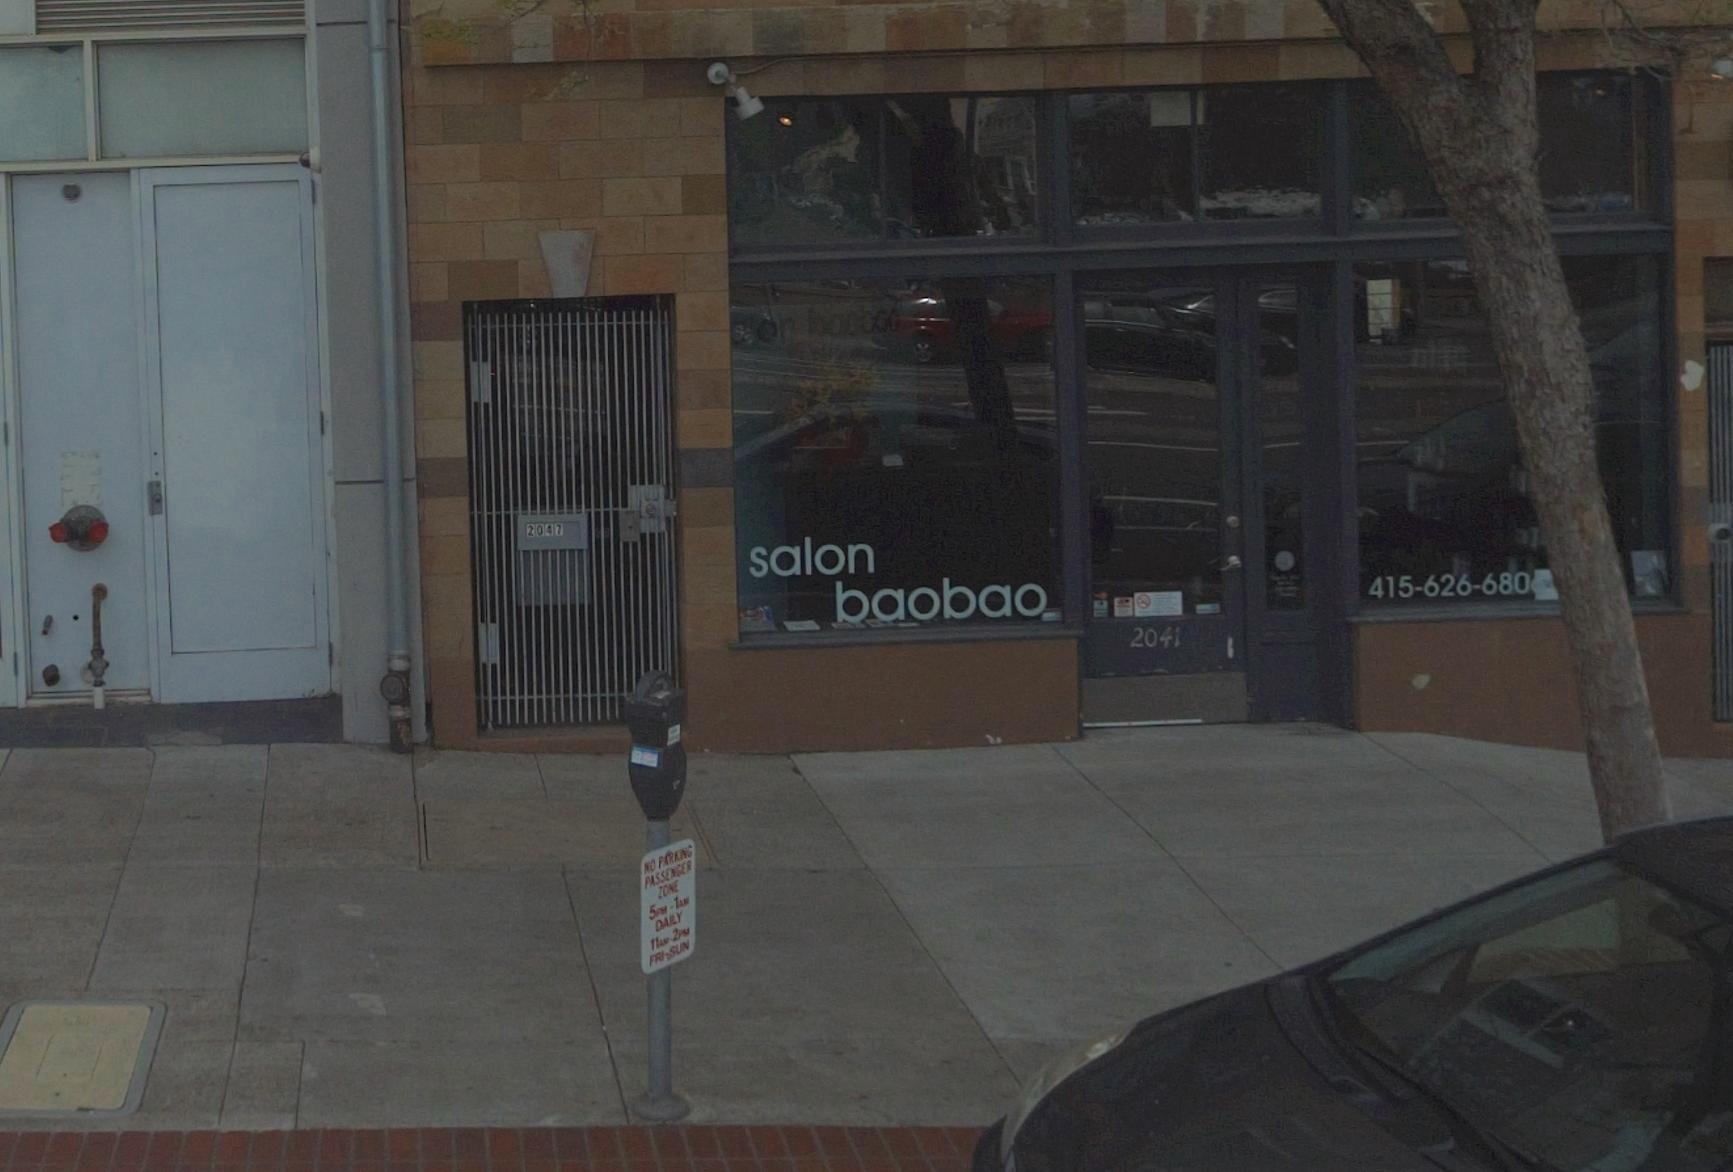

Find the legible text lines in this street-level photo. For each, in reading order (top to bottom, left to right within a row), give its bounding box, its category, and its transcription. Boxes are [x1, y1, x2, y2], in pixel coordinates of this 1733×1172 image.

[525, 522, 564, 538] StreetNumber: 2047
[746, 533, 880, 581] BusinessName: salon
[832, 574, 1051, 626] BusinessName: baobao
[1364, 568, 1533, 602] None: 415-626-680
[1126, 624, 1182, 651] StreetNumber: 2041
[653, 876, 682, 904] None: ZONE
[641, 841, 695, 877] None: NO PARKING
[641, 855, 696, 893] None: PASSENGER
[651, 906, 687, 937] None: DAILY
[645, 891, 694, 926] None: 5**-1AM
[645, 934, 693, 972] None: FRI**SUN
[645, 924, 694, 958] None: 11**-2**